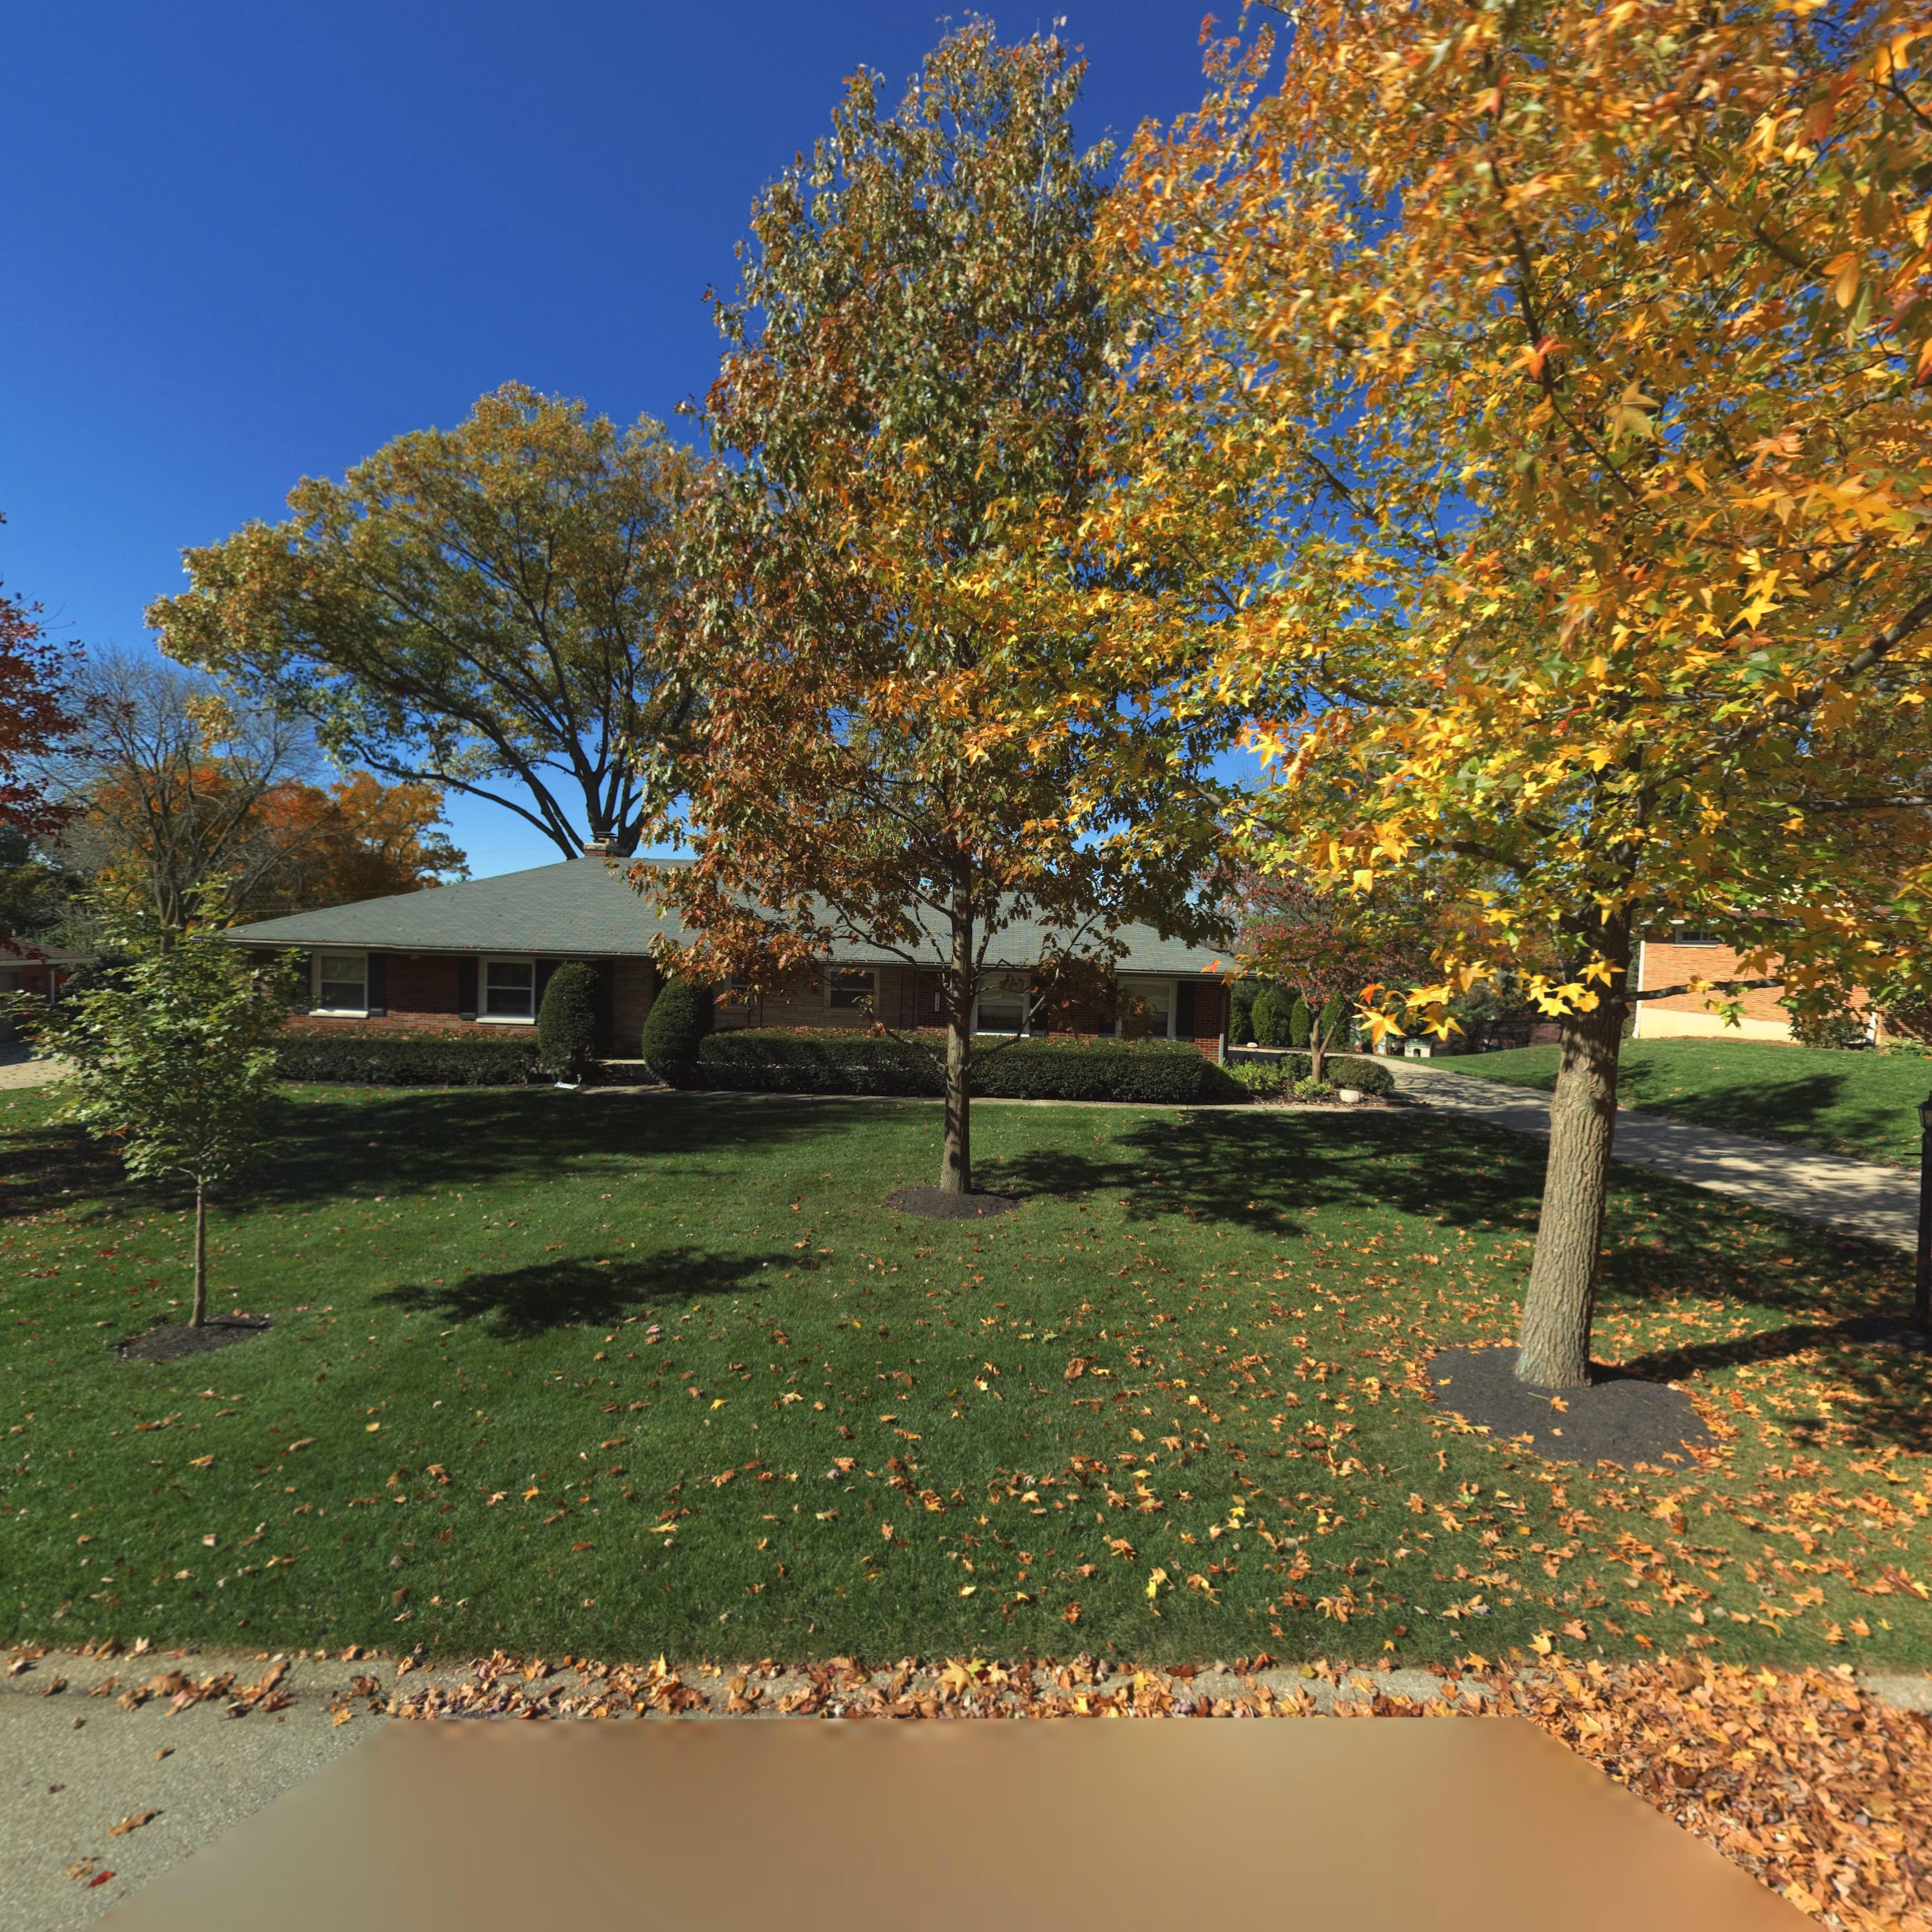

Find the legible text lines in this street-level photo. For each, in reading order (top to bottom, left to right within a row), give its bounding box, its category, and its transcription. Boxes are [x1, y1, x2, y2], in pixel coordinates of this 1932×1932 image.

[935, 992, 939, 1012] StreetNumber: 4143